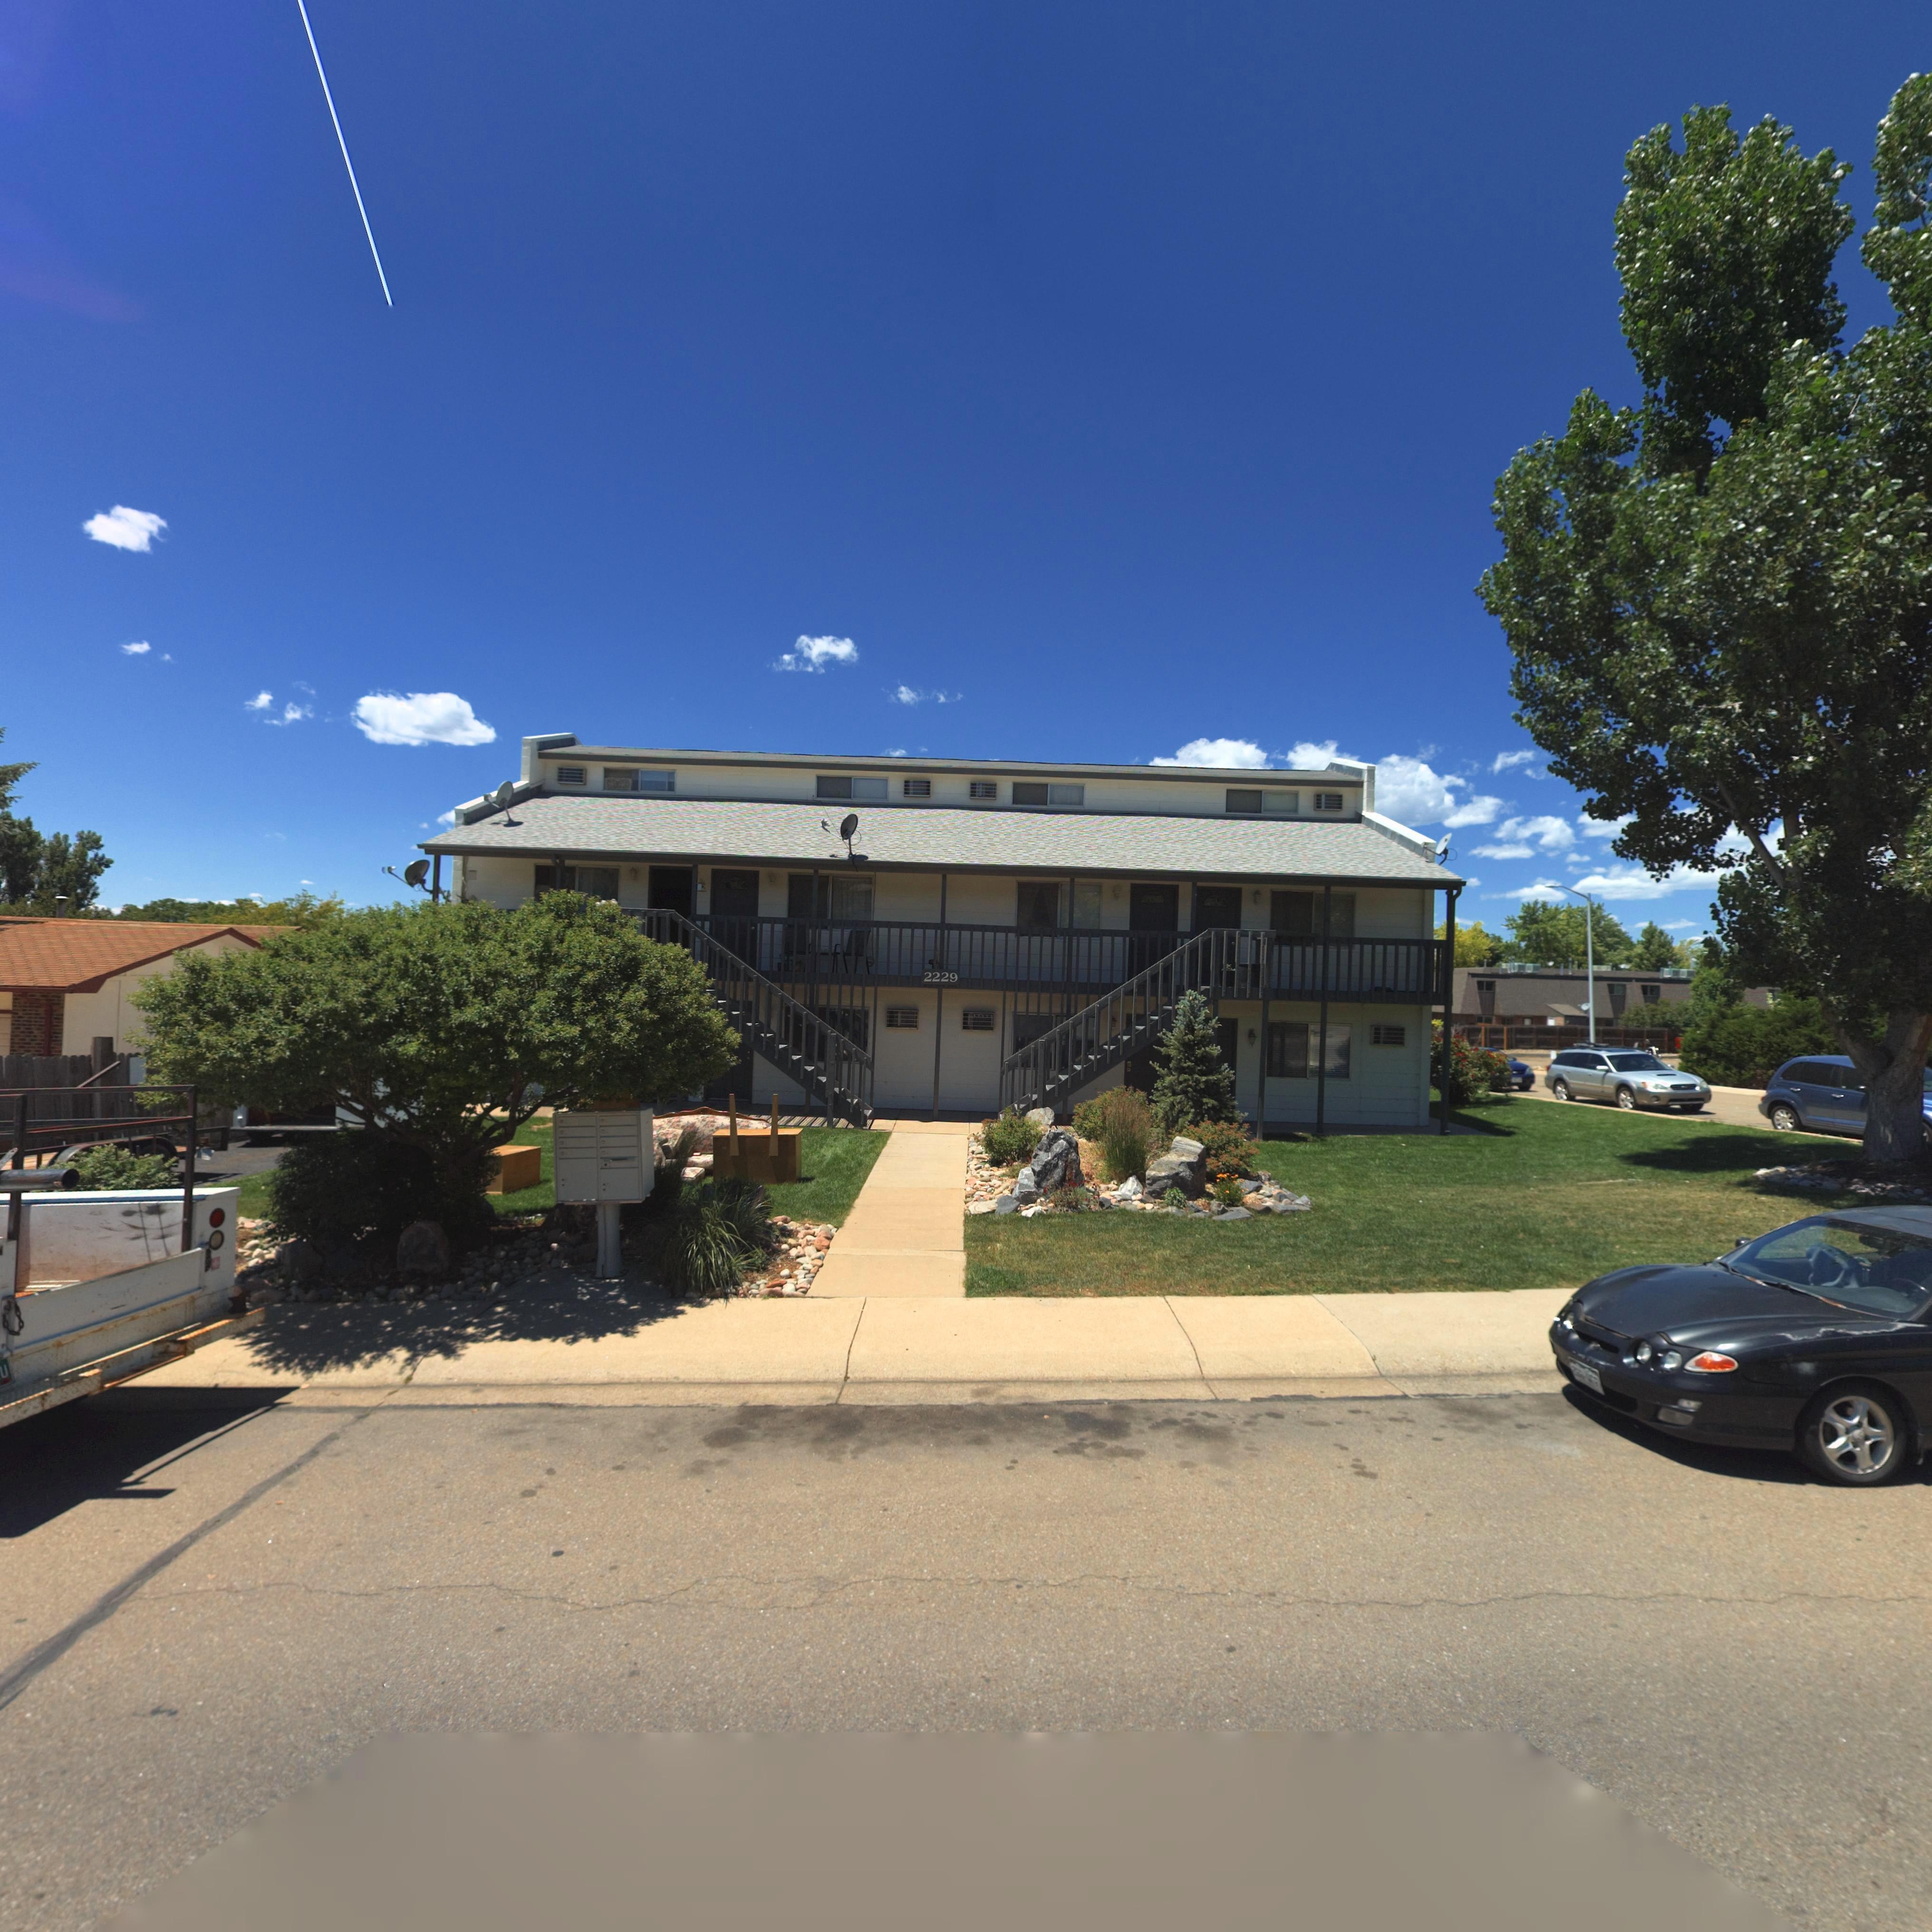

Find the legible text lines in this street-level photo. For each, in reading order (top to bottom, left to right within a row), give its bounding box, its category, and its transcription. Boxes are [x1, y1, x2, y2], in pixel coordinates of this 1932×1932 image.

[924, 972, 958, 982] StreetNumber: 2229